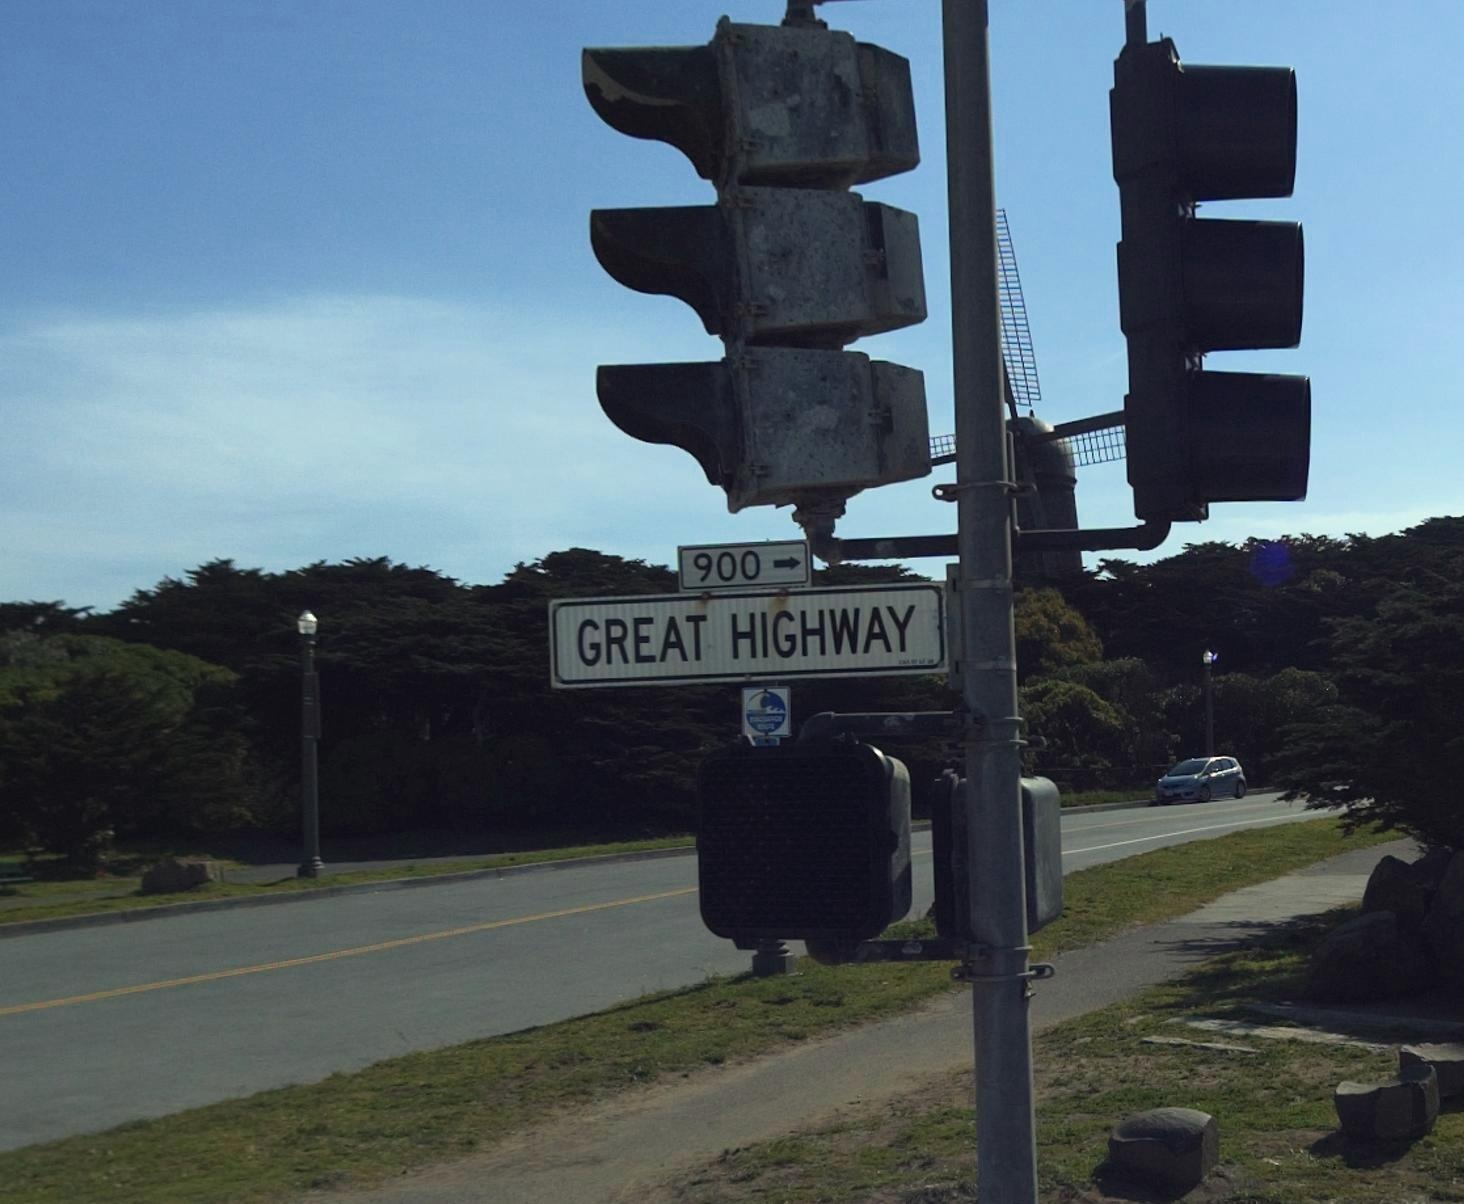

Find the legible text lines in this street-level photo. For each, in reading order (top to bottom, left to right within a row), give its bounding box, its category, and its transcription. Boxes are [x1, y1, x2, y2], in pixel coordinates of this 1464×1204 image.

[688, 545, 800, 586] StreetNumberRange: 900->
[574, 600, 919, 671] StreetName: GREAT HIGHWAY